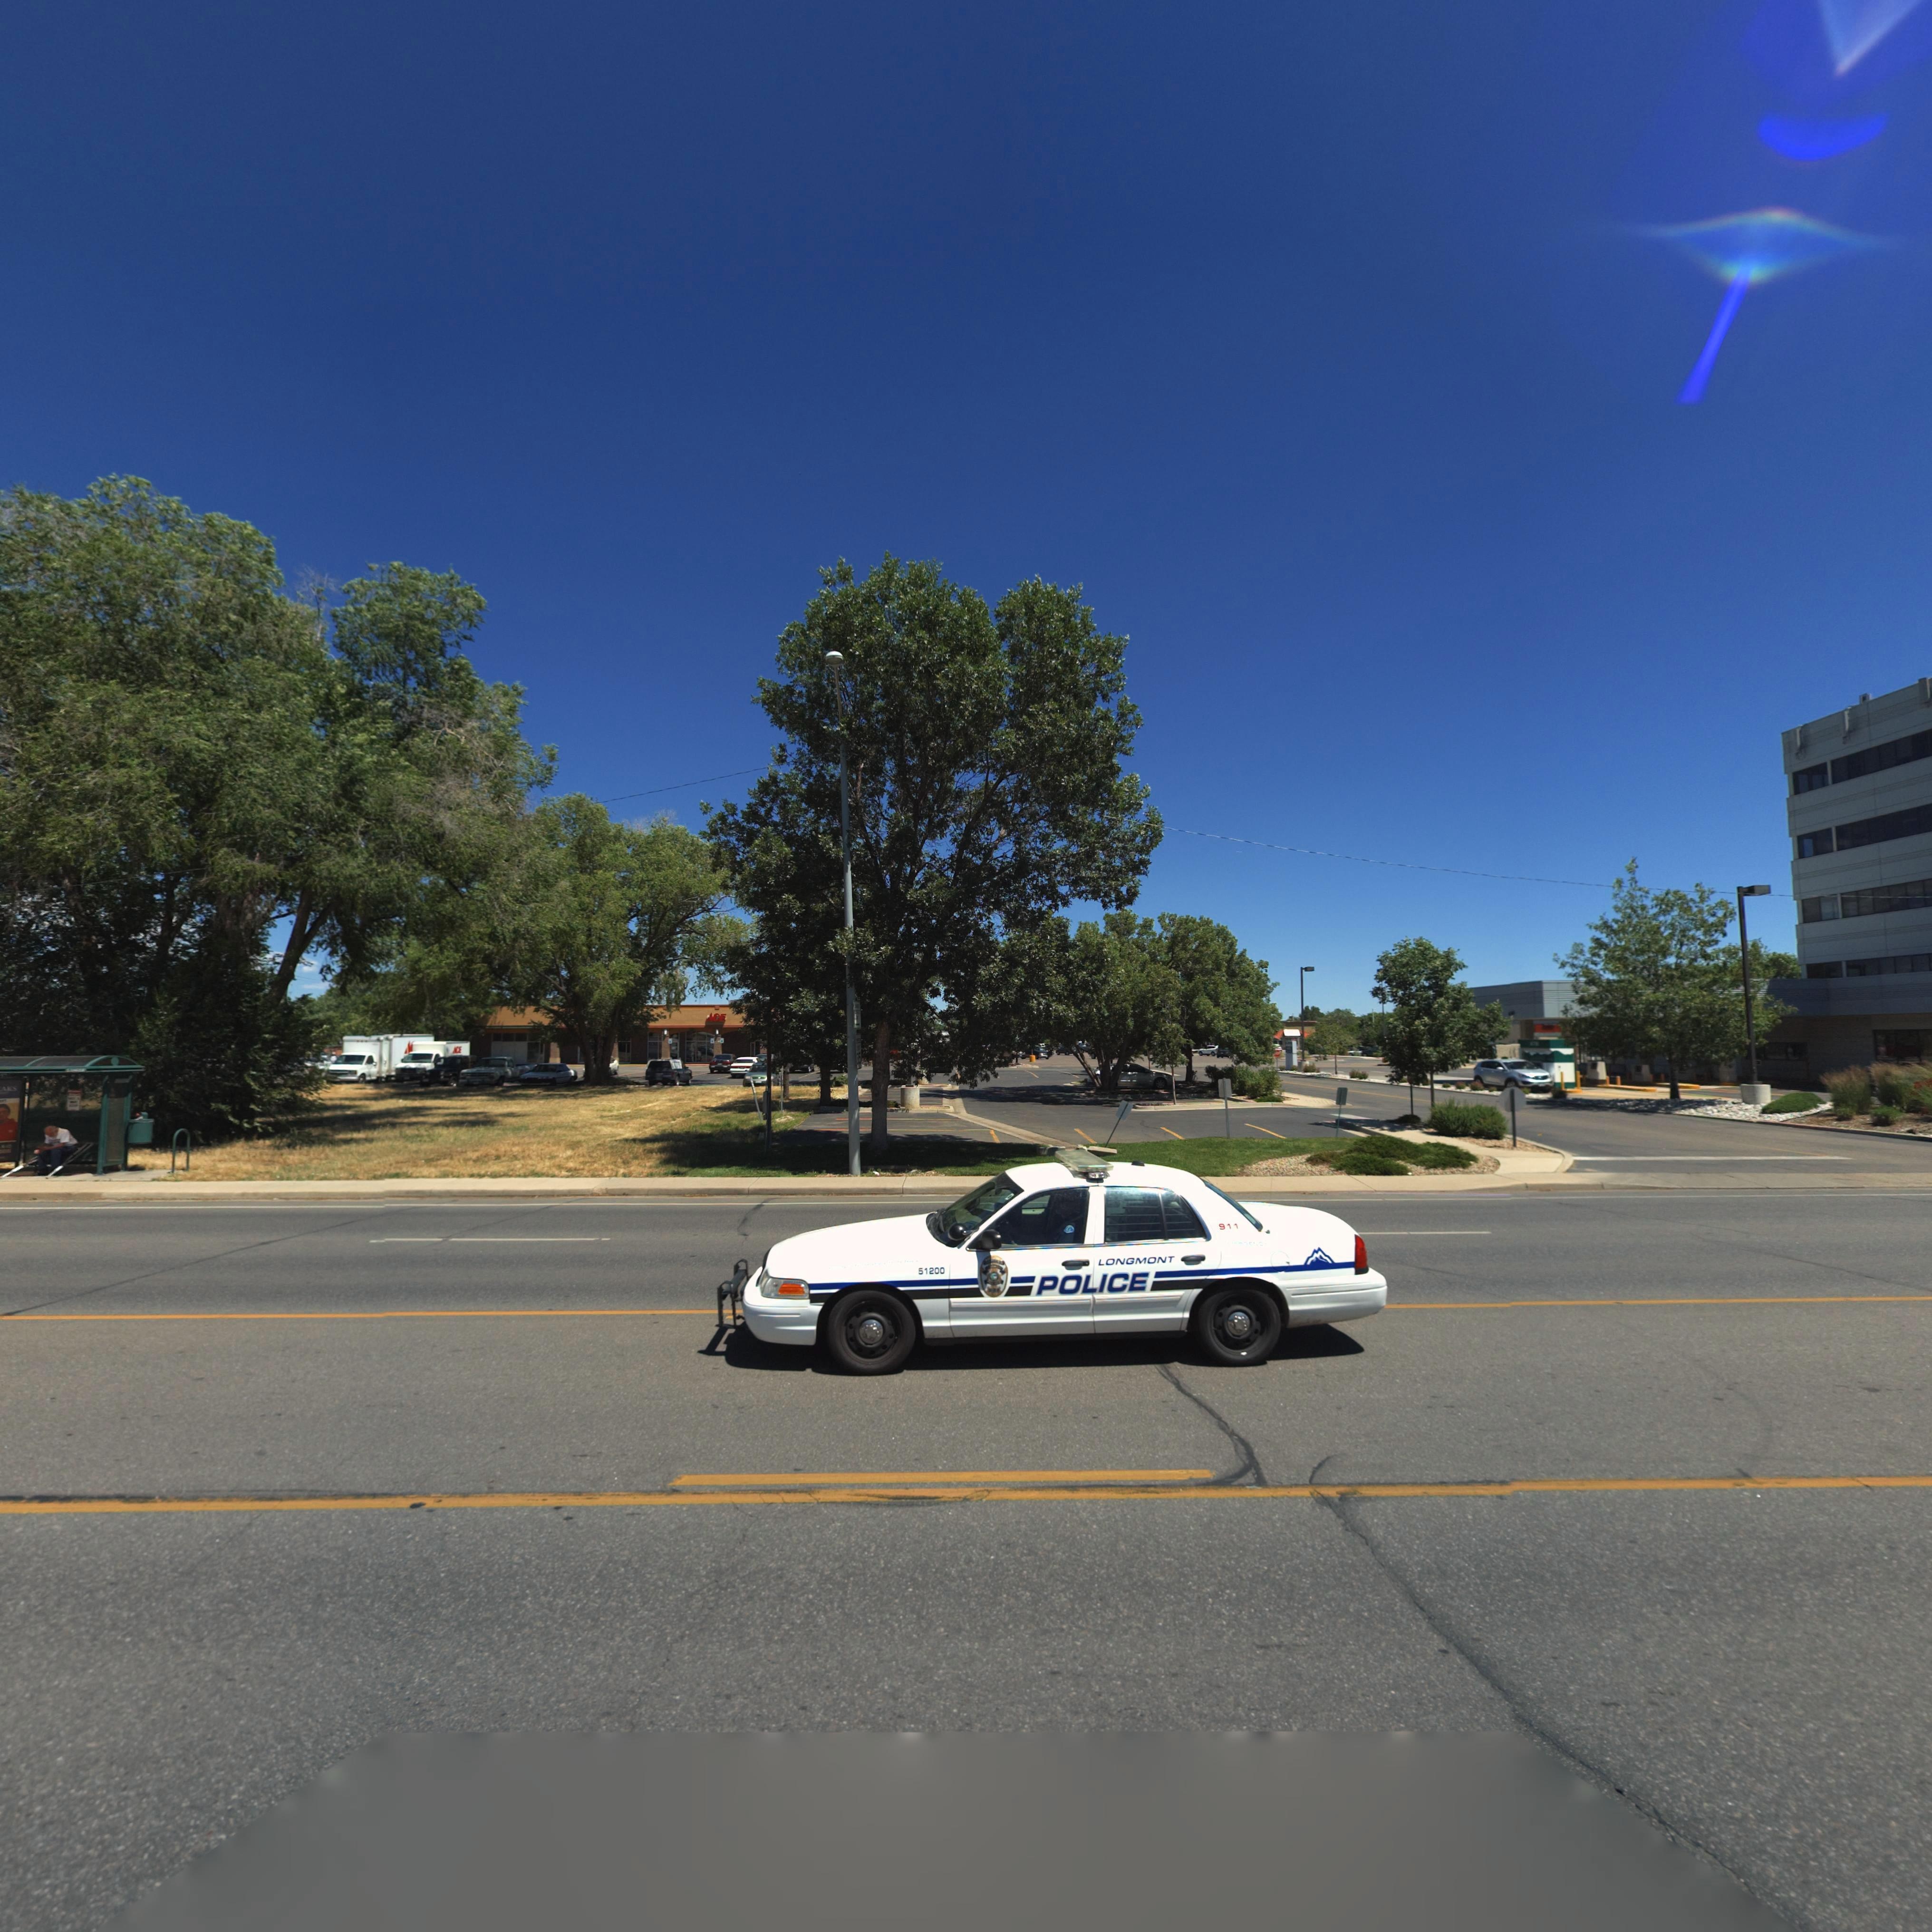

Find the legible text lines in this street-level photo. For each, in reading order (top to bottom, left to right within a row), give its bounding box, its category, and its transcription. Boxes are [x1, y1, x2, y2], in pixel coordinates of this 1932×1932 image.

[705, 1012, 727, 1022] BusinessName: ACE